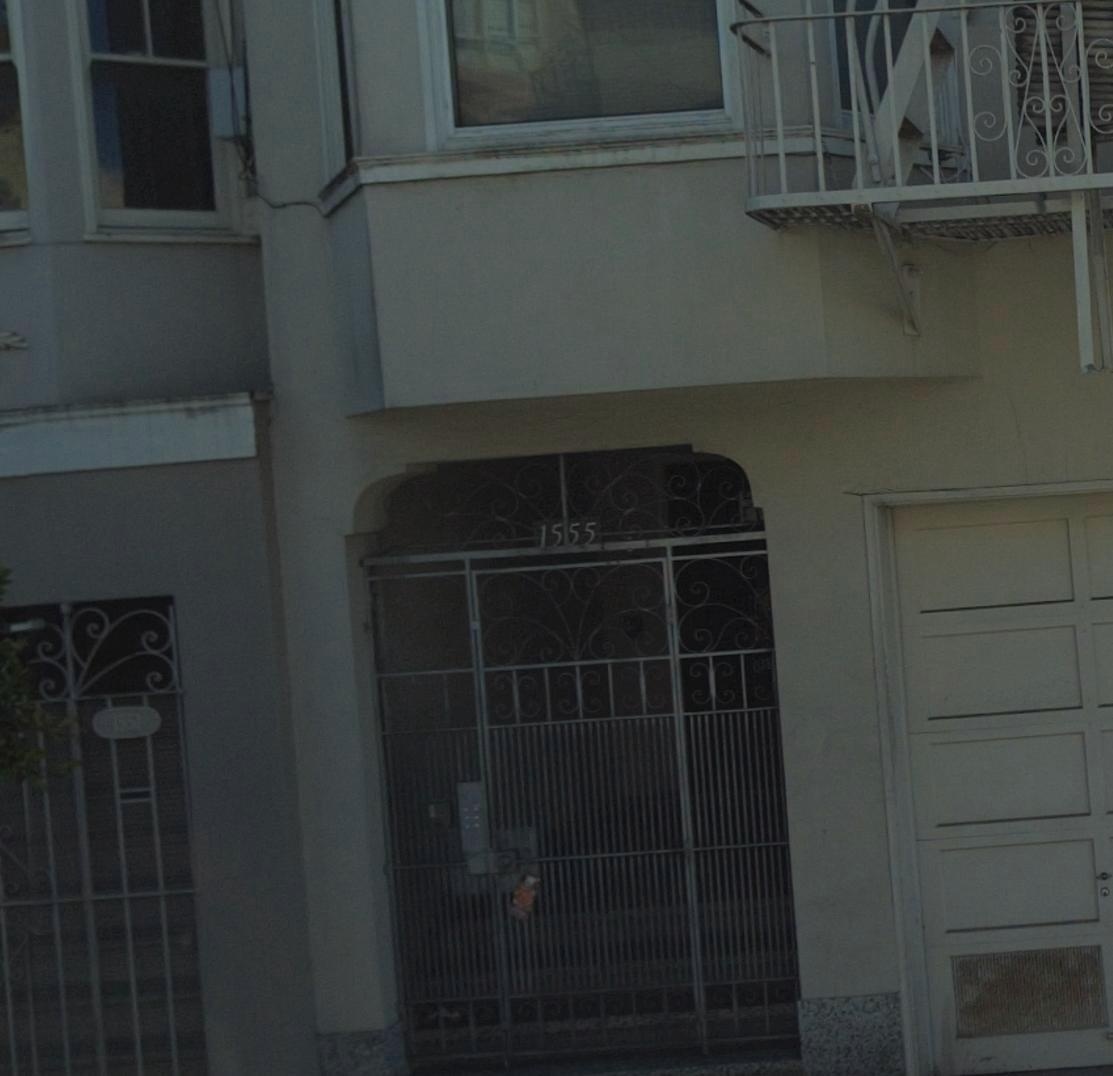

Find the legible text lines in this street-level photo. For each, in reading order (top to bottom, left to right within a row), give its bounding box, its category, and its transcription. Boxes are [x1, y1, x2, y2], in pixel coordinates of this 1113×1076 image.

[537, 520, 598, 549] StreetNumber: 1555
[110, 710, 145, 733] StreetNumber: 155*